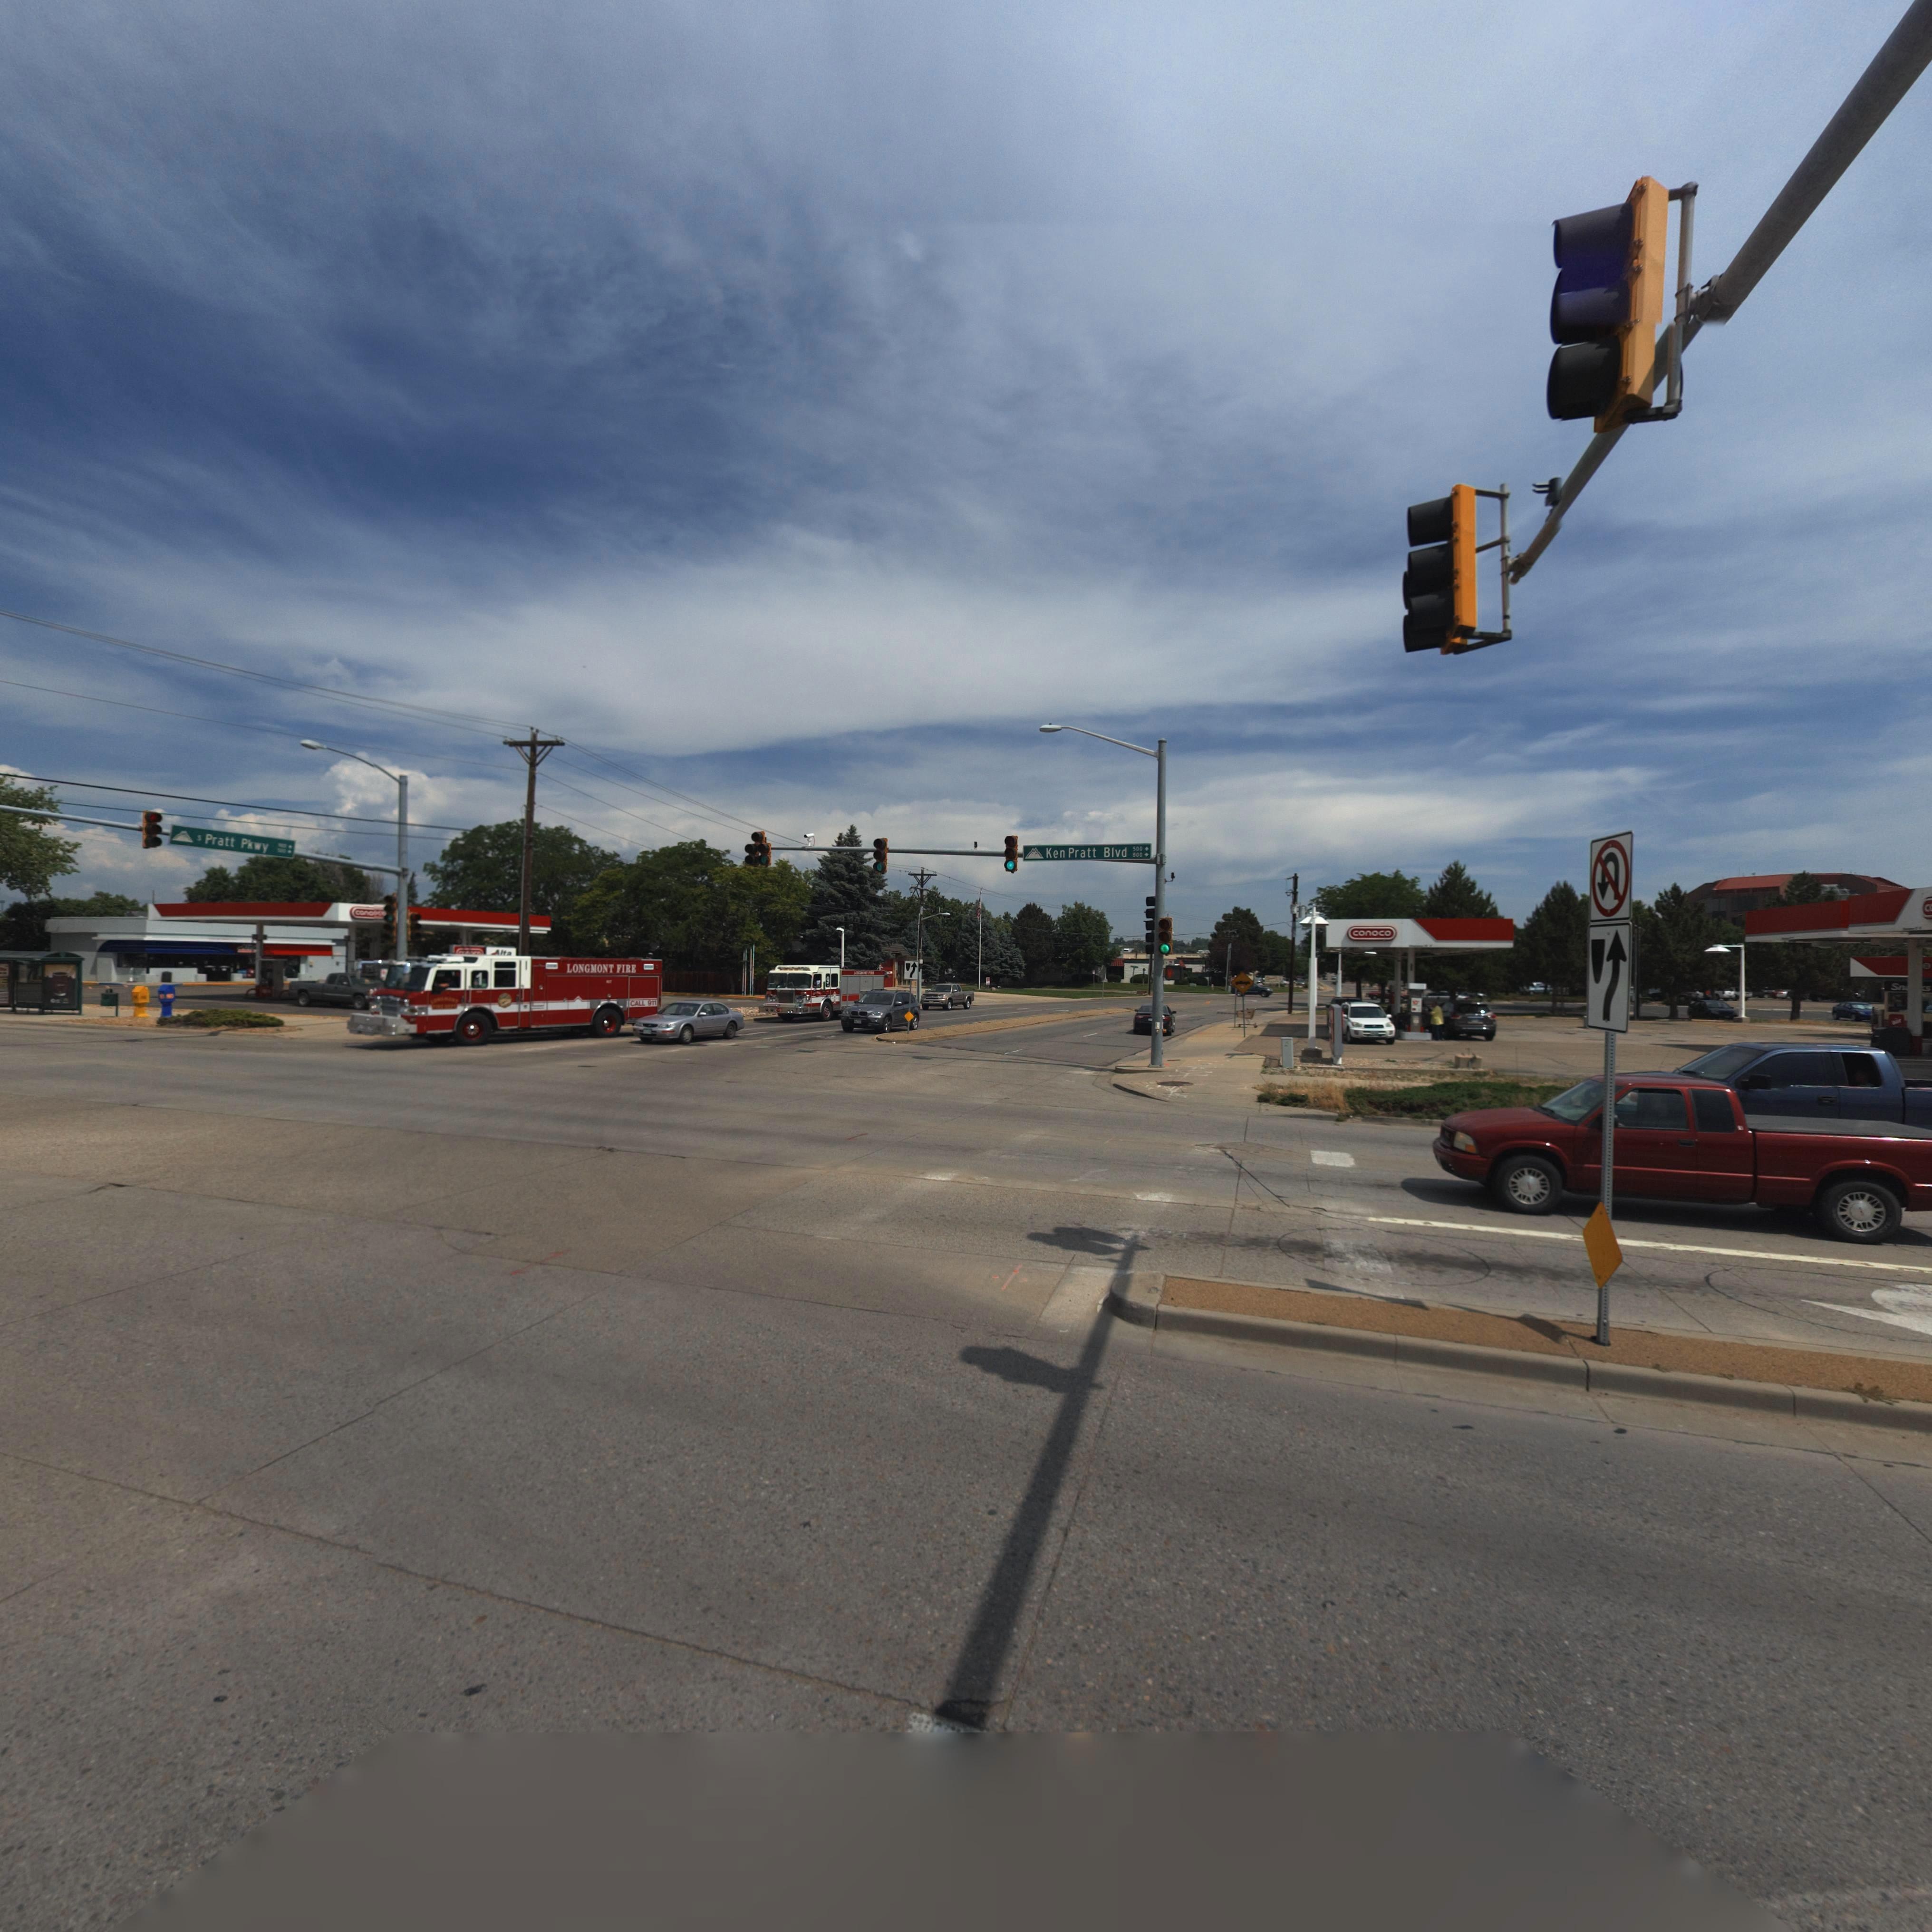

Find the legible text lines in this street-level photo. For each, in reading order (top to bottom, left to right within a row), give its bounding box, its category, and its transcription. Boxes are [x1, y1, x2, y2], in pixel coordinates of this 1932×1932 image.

[196, 833, 270, 854] StreetName: S Ppratt Pkwy
[1045, 846, 1128, 859] StreetName: Ken Pratt Blvd
[1133, 846, 1142, 851] StreetNumberRange: 500
[1132, 852, 1150, 857] StreetNumberRange: 800->
[1352, 929, 1391, 937] BusinessName: conoco
[492, 948, 512, 955] BusinessName: Alta